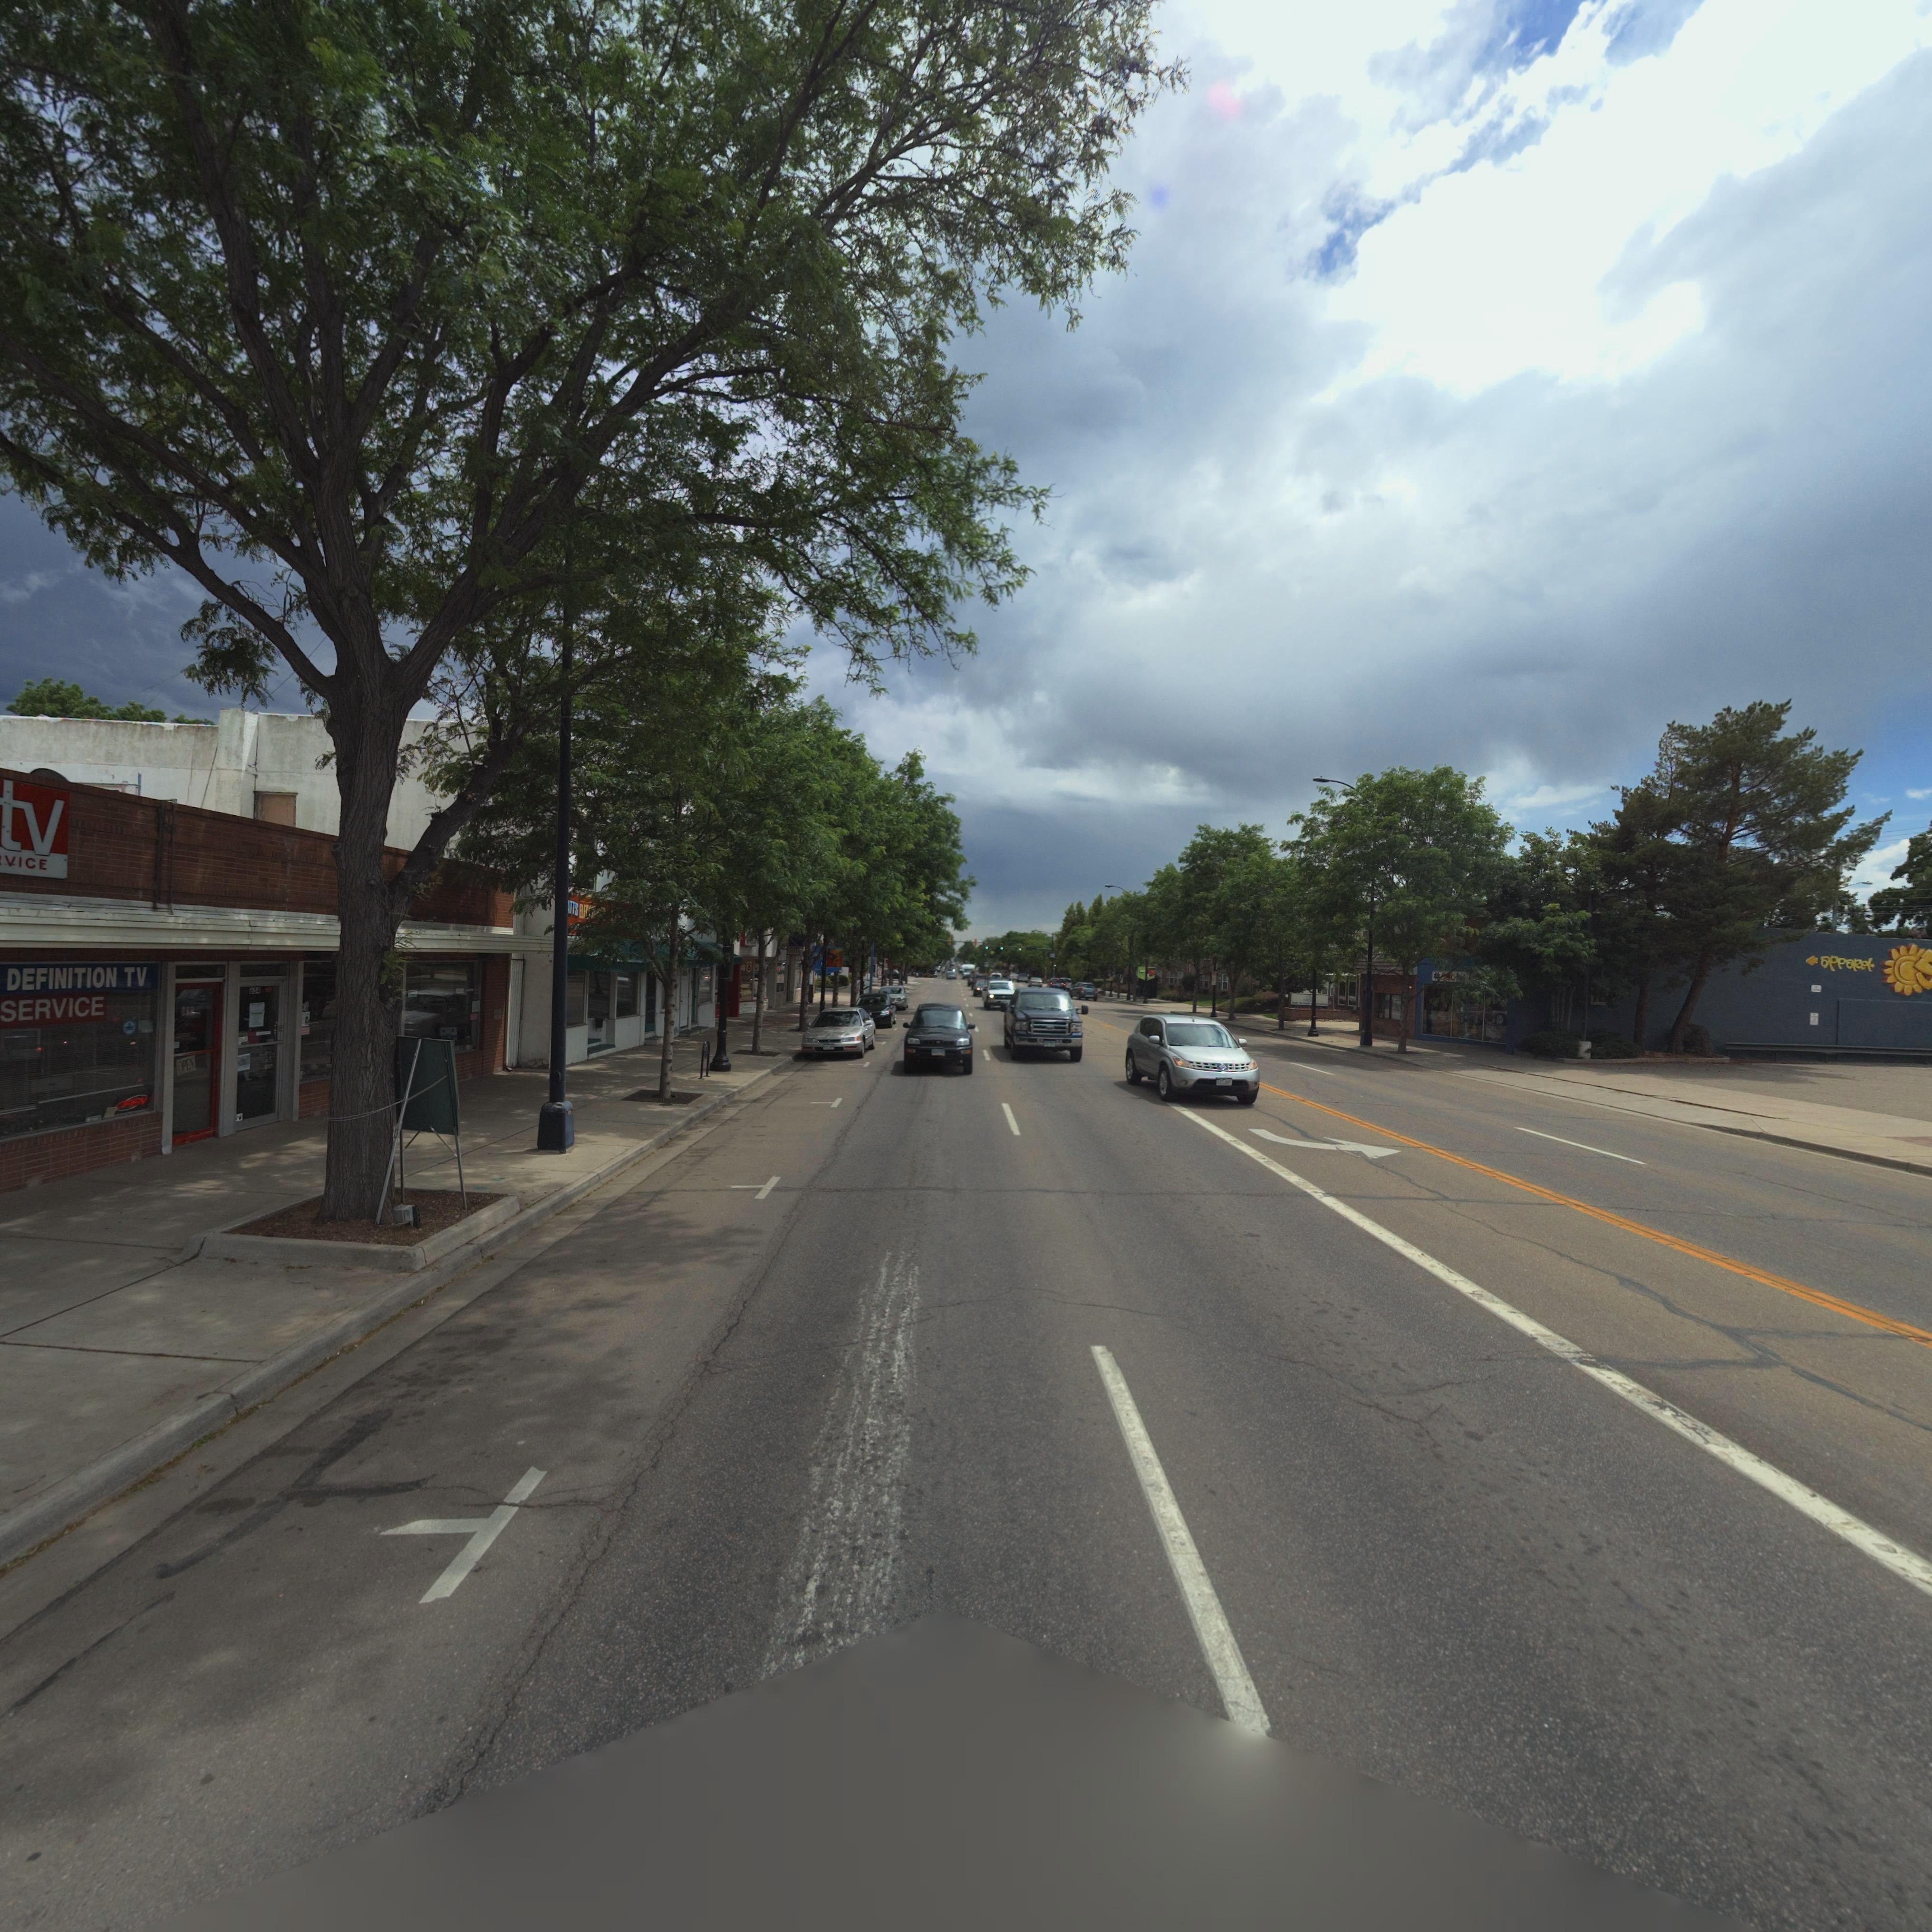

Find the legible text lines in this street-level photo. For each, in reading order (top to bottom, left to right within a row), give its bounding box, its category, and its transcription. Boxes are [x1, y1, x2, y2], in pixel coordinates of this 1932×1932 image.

[0, 778, 67, 857] BusinessName: tv
[570, 899, 589, 919] BusinessName: TTS ELEC
[249, 987, 260, 994] StreetNumber: 634
[180, 1006, 194, 1015] StreetNumber: **6